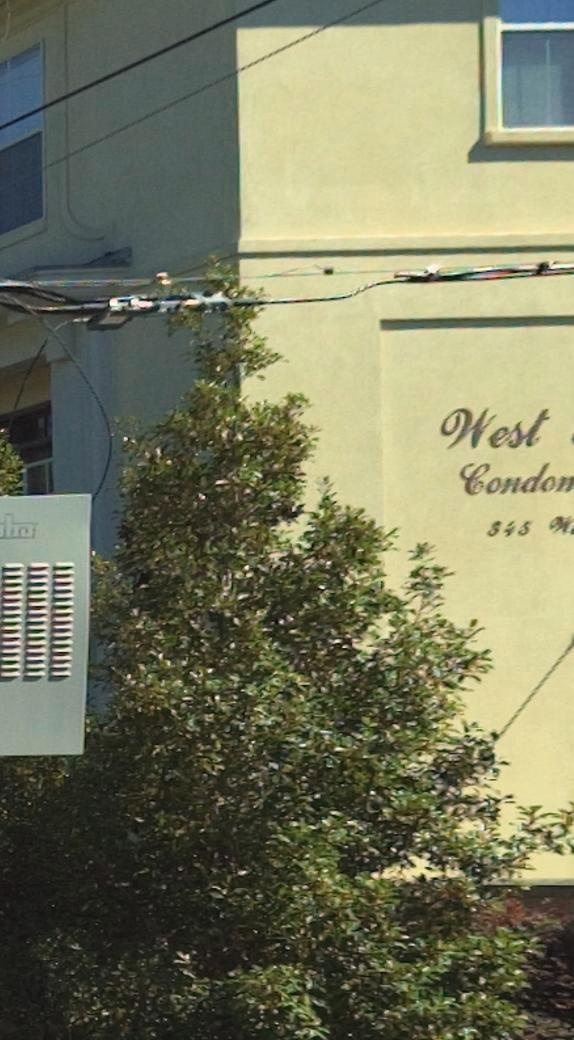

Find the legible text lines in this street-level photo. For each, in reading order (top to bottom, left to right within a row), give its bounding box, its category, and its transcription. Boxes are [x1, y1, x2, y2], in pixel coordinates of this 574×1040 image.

[439, 406, 551, 450] BusinessName: West
[459, 460, 559, 496] BusinessName: Condo
[4, 513, 35, 539] None: h*
[484, 520, 535, 538] StreetNumber: 345
[548, 515, 574, 535] StreetName: W